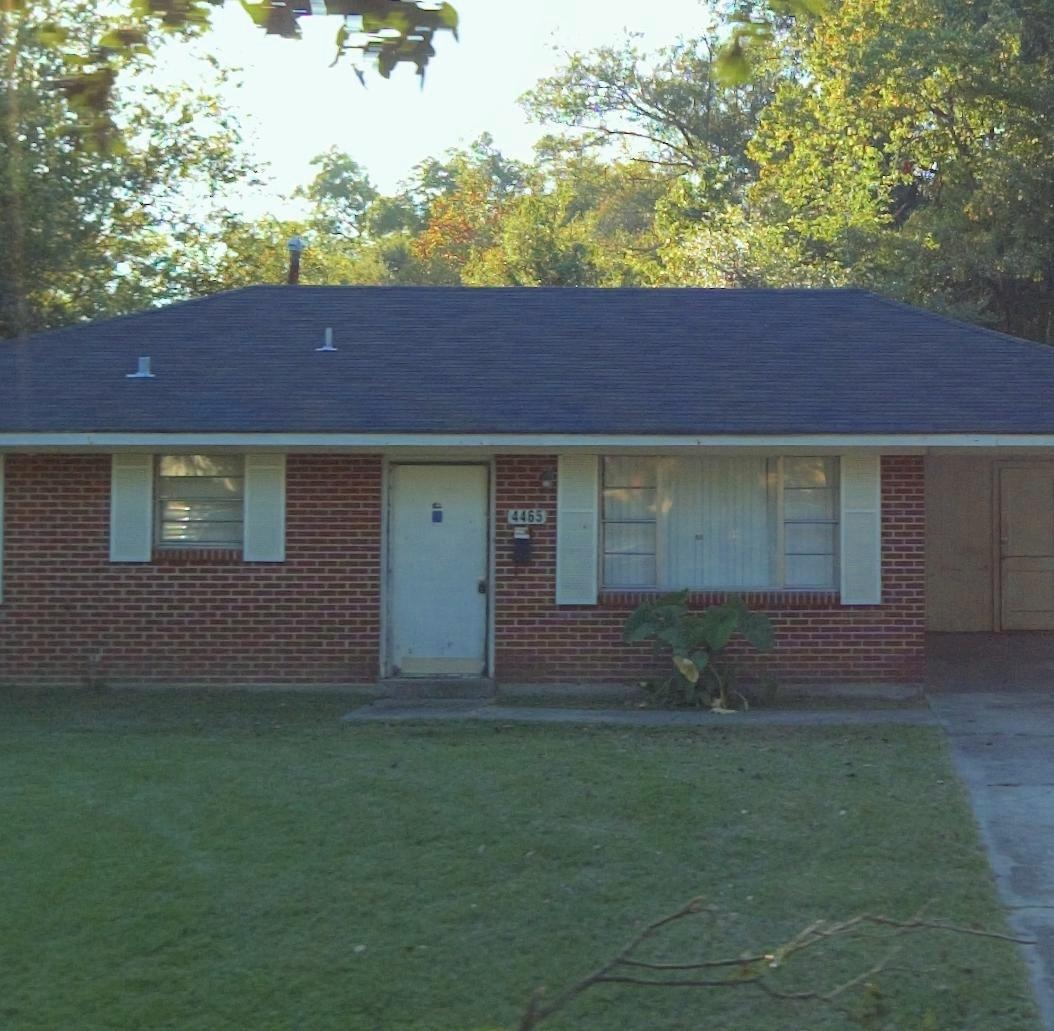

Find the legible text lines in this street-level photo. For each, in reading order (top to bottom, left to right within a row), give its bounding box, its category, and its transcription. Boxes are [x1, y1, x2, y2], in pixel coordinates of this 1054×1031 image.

[510, 509, 543, 523] StreetNumber: 4465